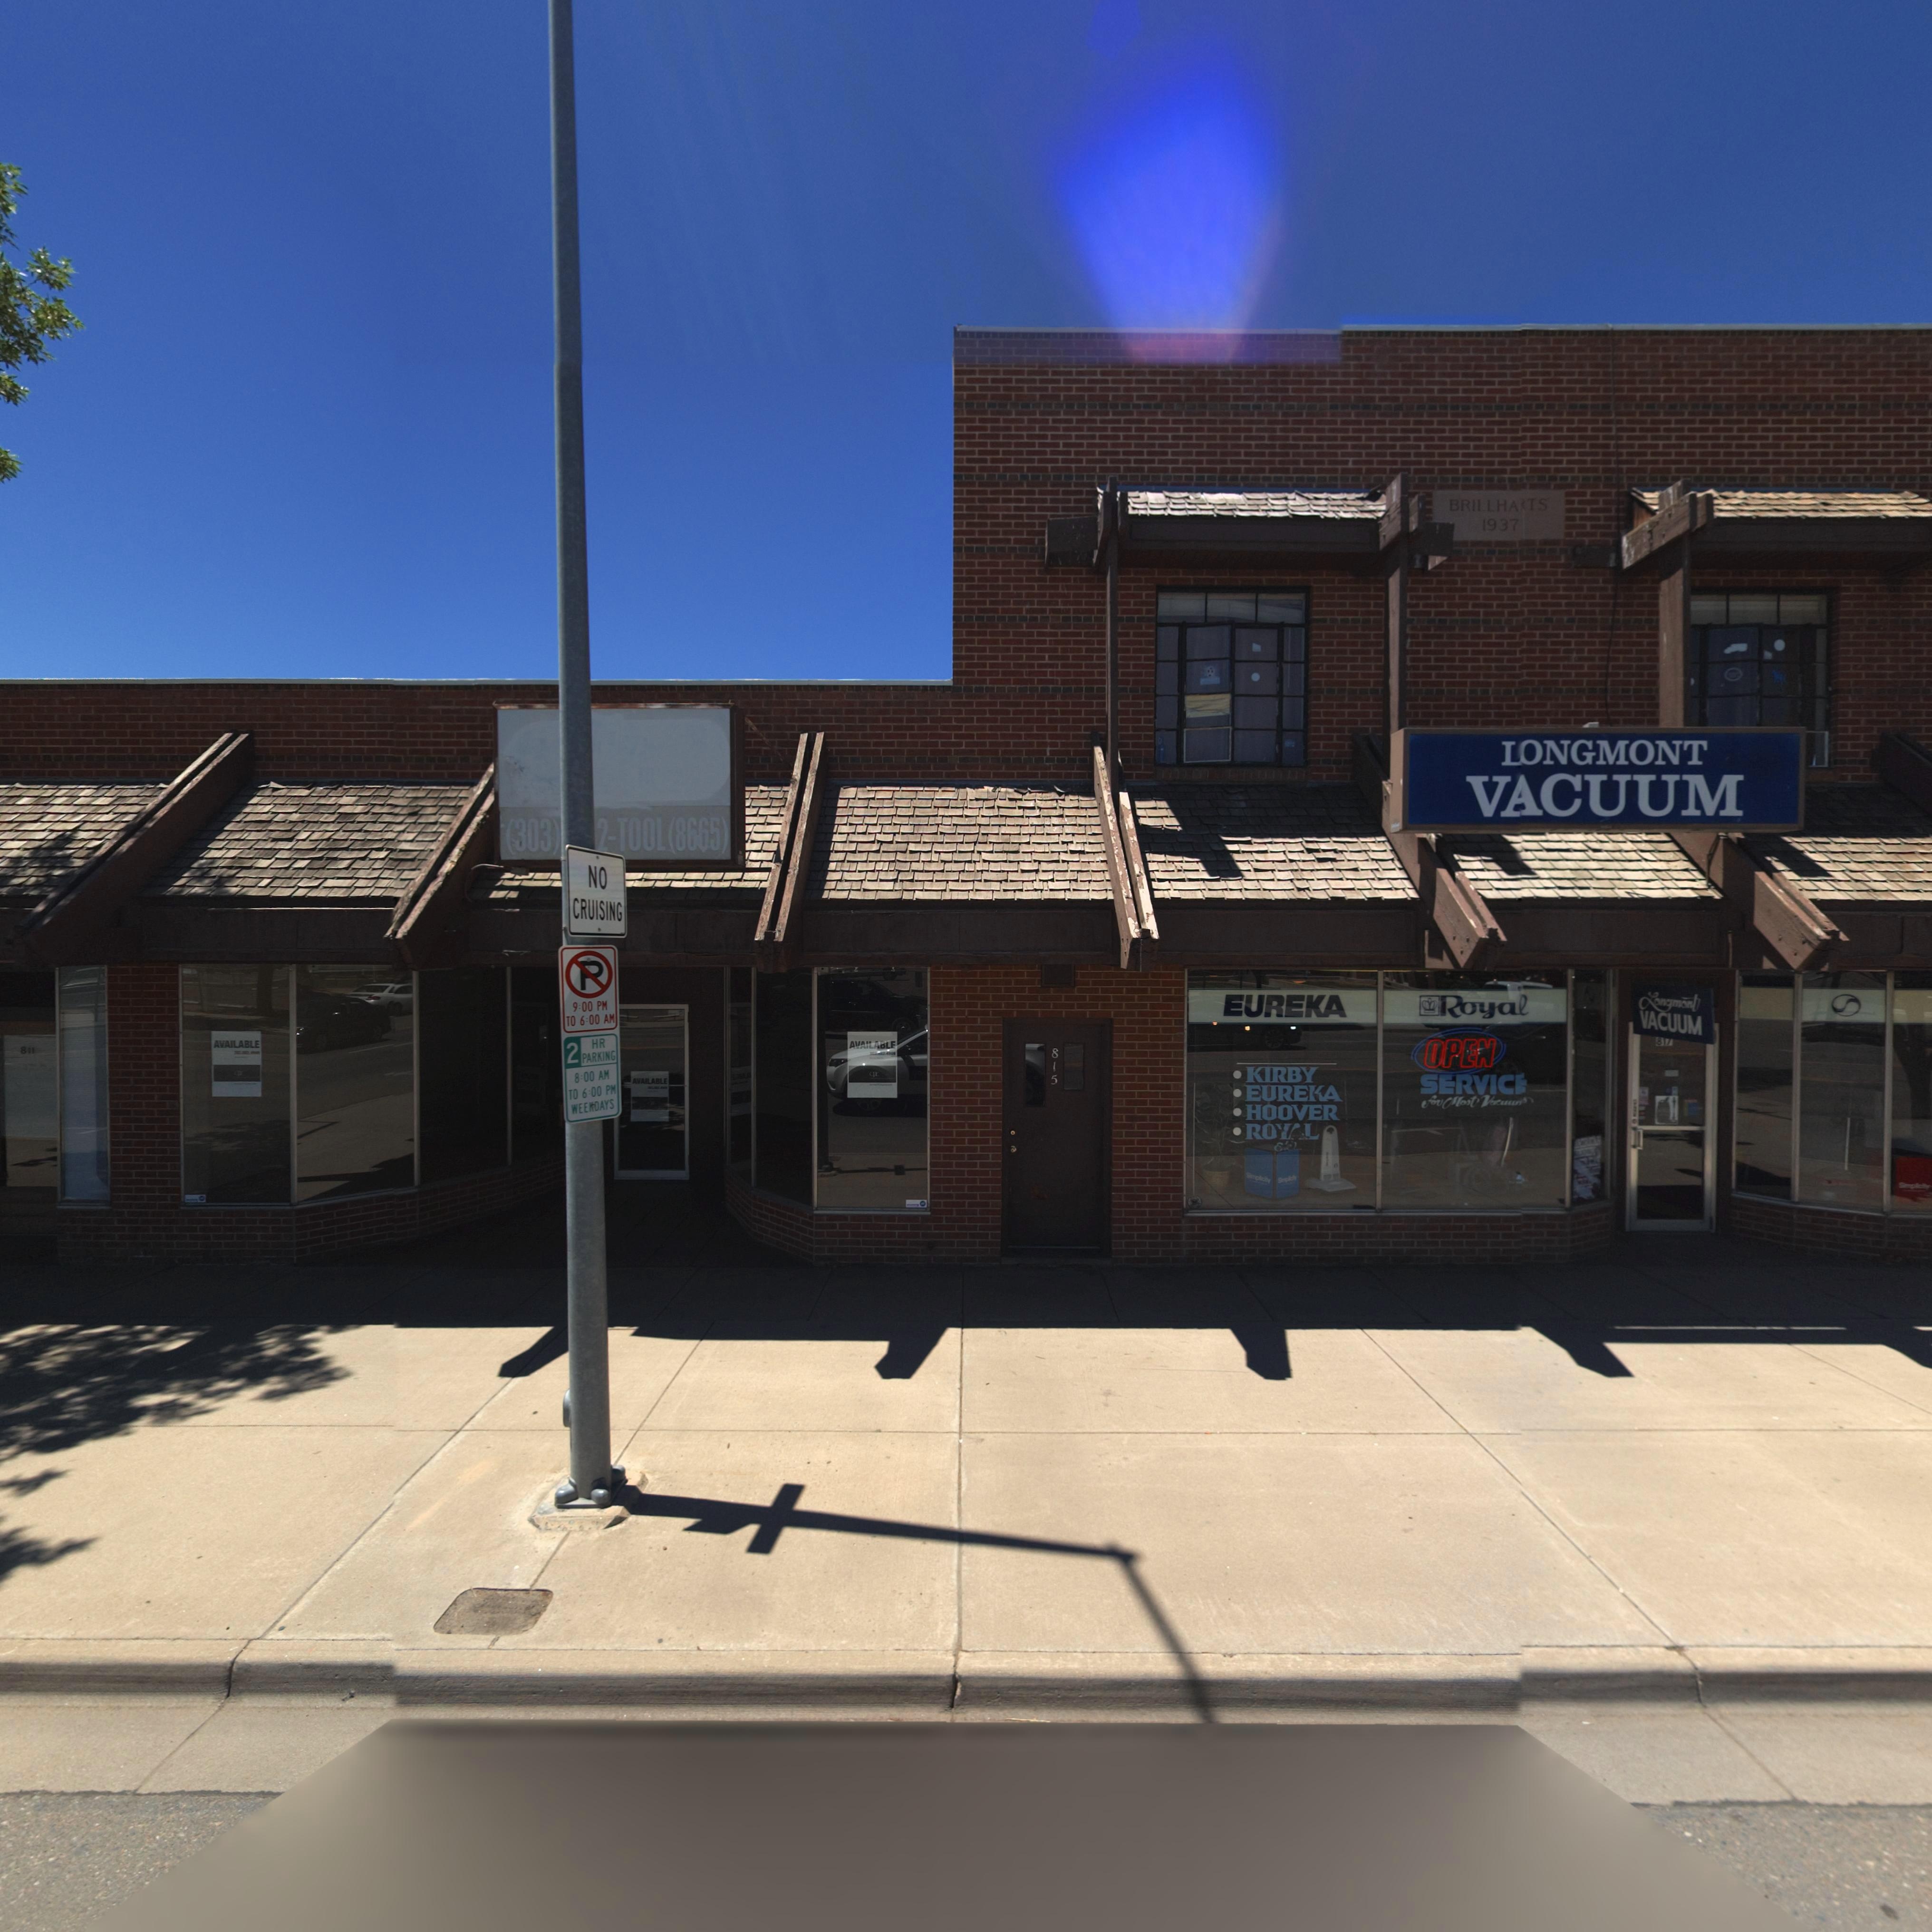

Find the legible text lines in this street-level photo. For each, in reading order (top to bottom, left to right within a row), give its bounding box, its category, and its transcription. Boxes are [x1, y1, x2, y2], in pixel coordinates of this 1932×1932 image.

[1500, 739, 1709, 766] BusinessName: LONGMONT
[1465, 774, 1744, 818] BusinessName: VACUUM
[1638, 991, 1700, 1013] BusinessName: Longmont
[1640, 1009, 1702, 1035] BusinessName: VACUUM
[19, 1046, 35, 1054] StreetNumber: 811
[1656, 1037, 1672, 1045] StreetNumber: 817
[1050, 1047, 1059, 1085] StreetNumber: 815